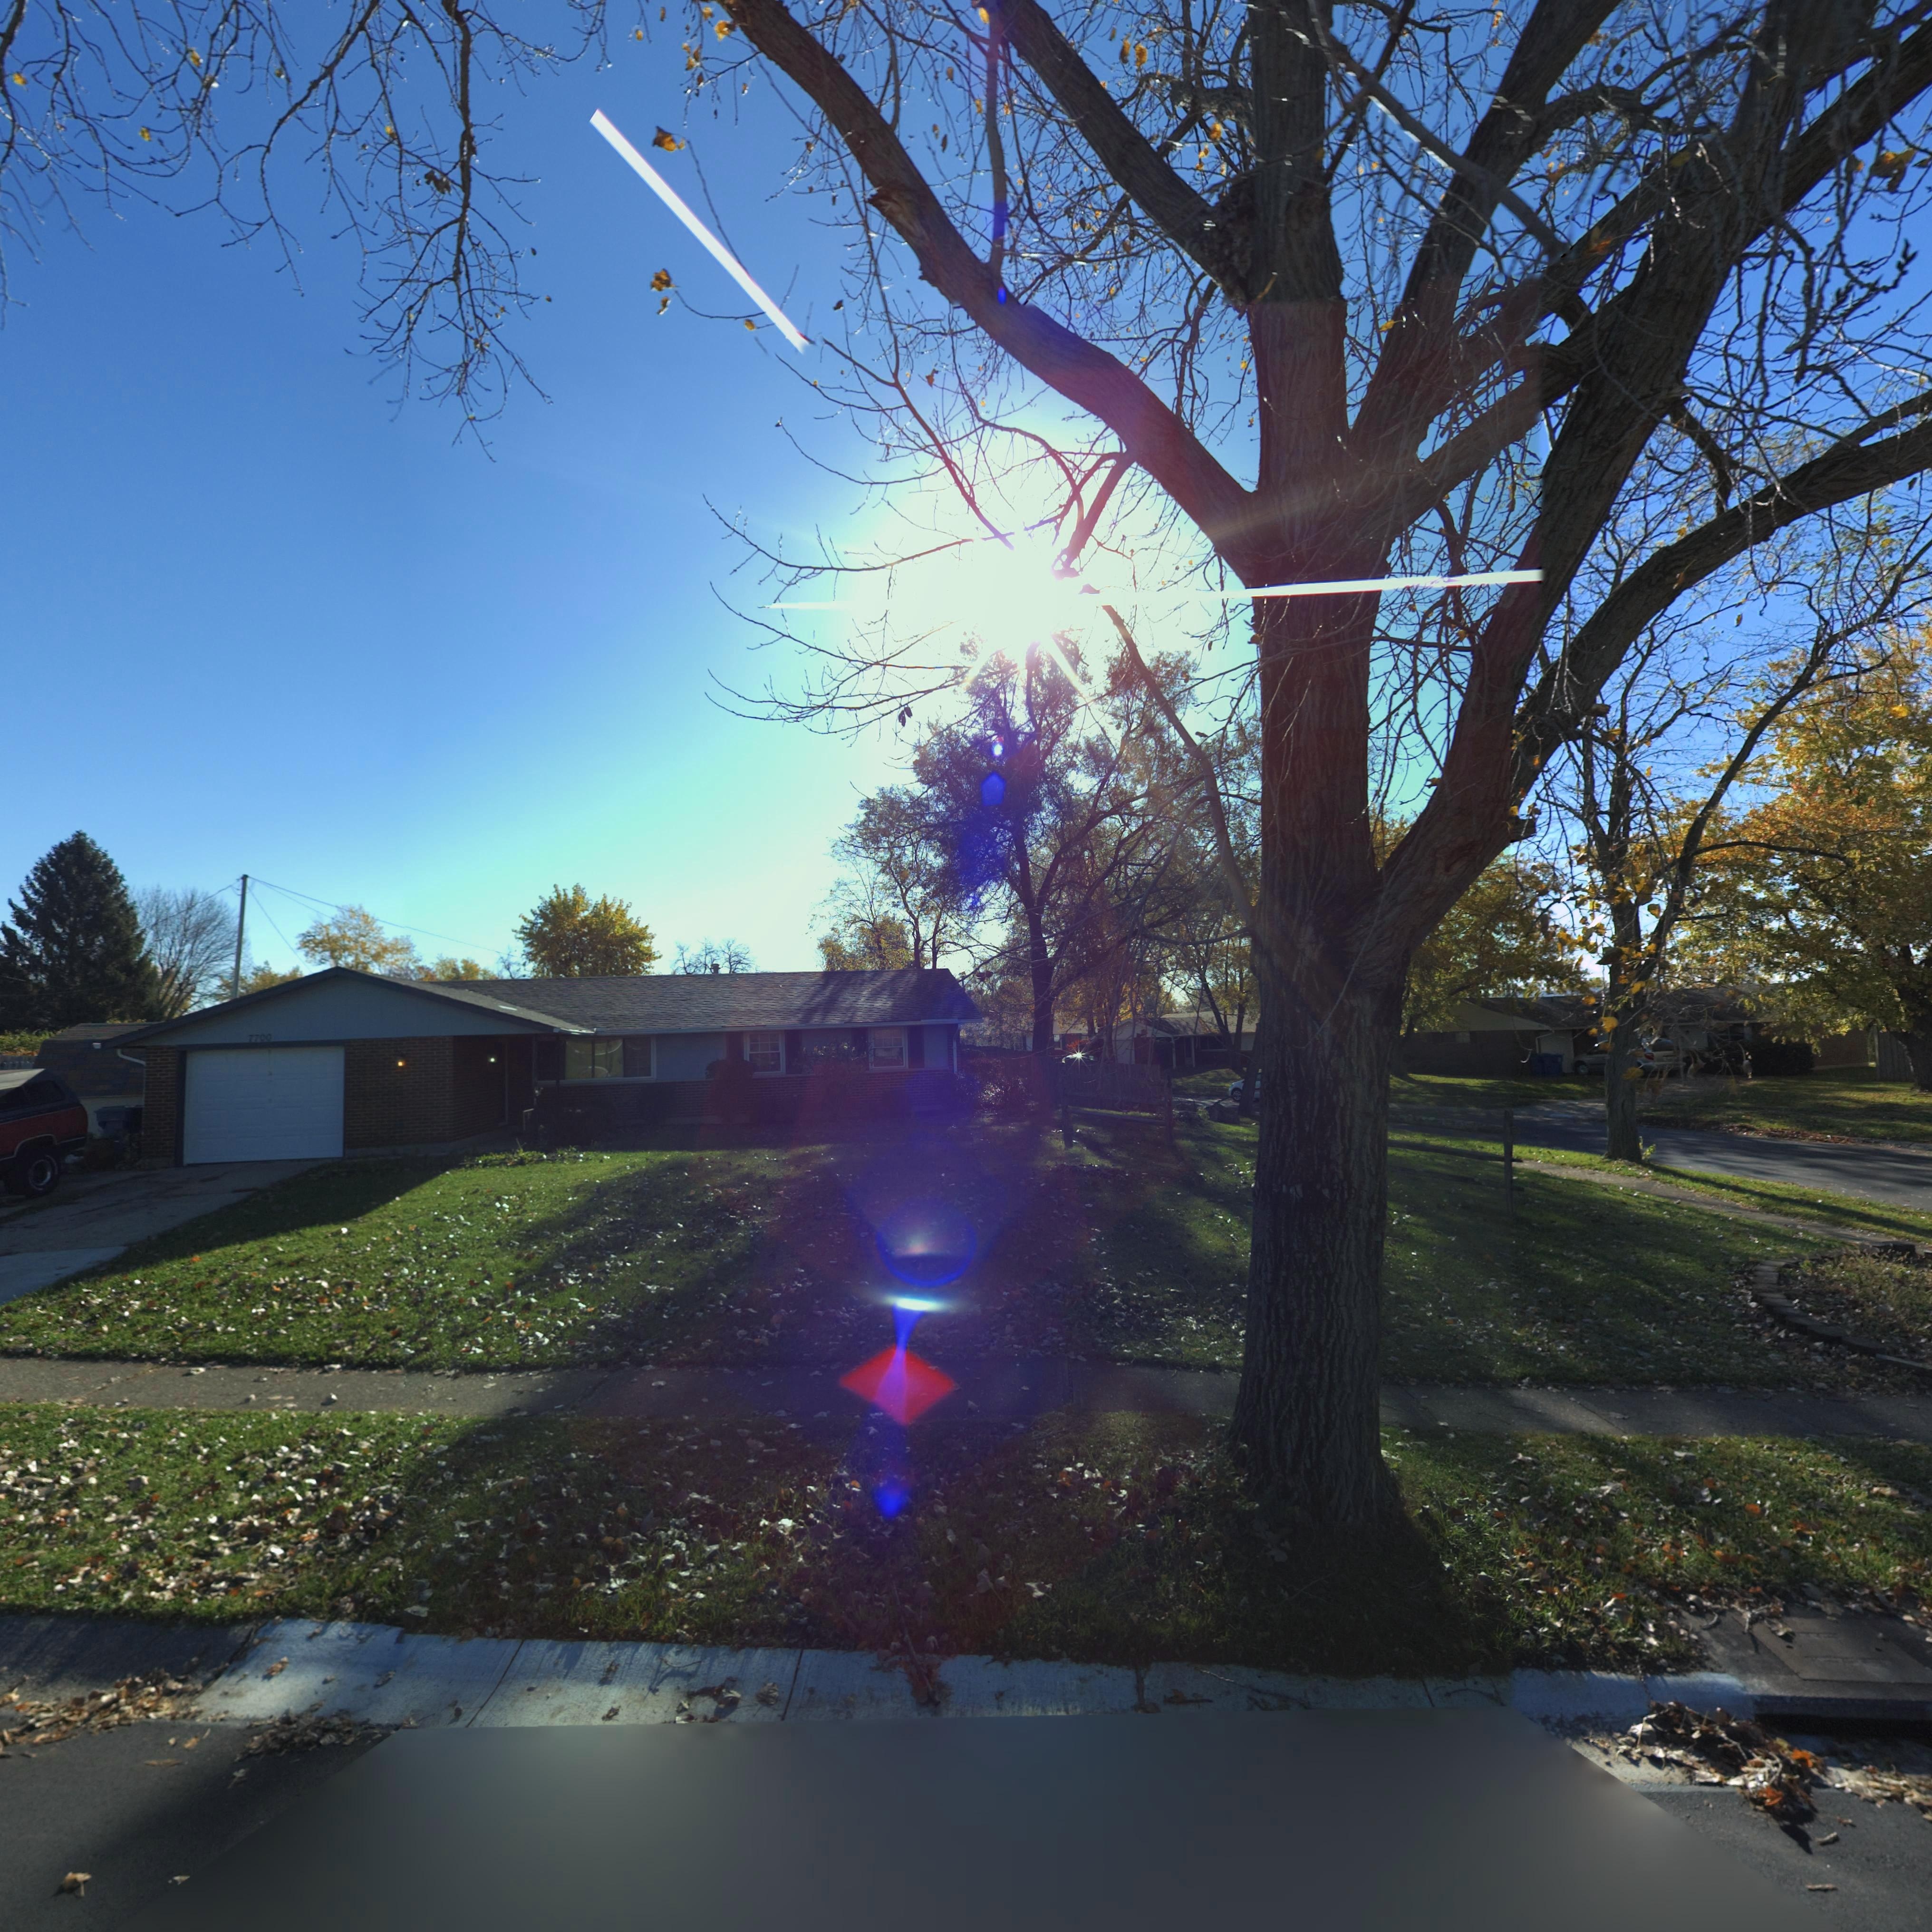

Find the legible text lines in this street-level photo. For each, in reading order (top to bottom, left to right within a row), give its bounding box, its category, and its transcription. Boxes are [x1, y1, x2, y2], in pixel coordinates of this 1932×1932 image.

[247, 1032, 273, 1044] StreetNumber: 7700